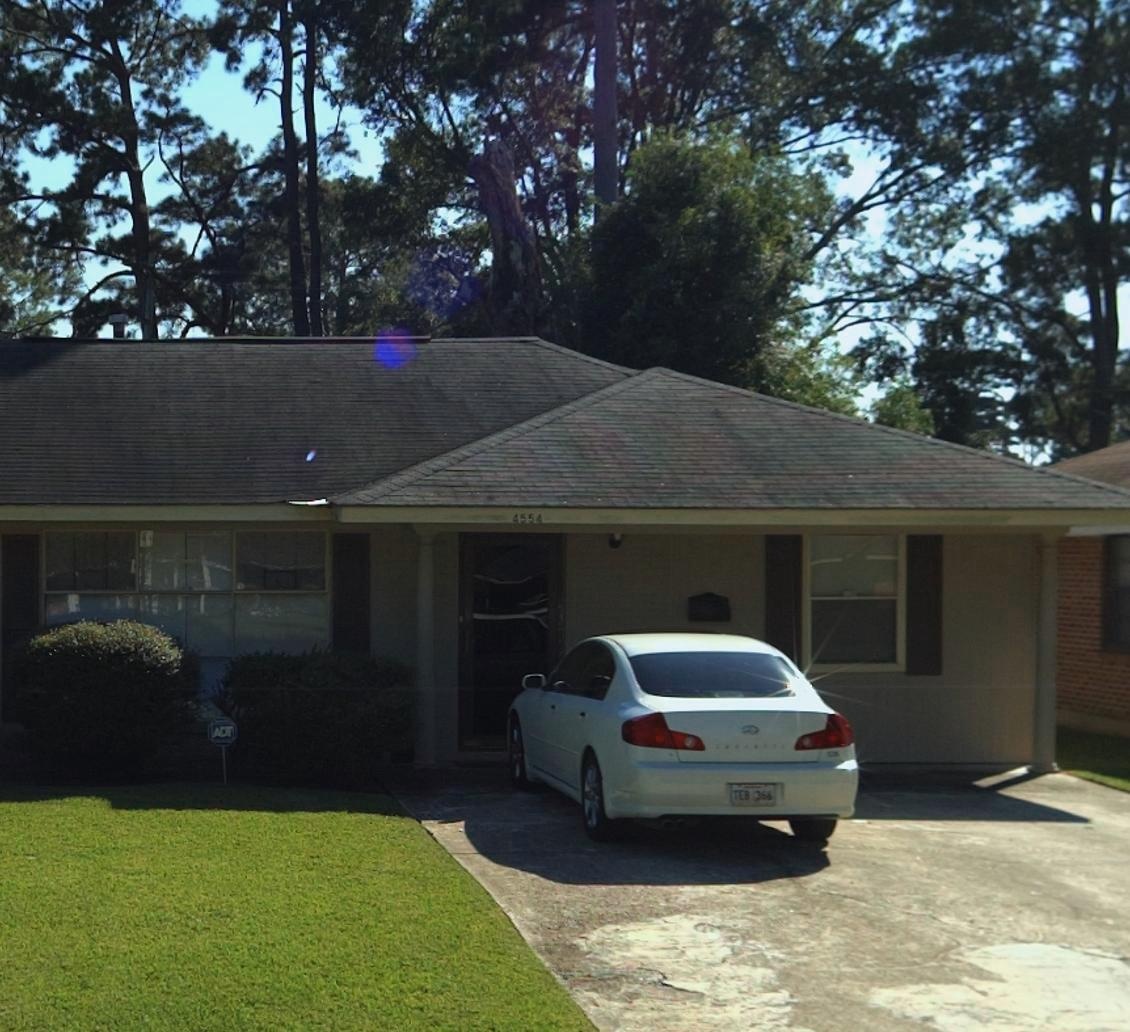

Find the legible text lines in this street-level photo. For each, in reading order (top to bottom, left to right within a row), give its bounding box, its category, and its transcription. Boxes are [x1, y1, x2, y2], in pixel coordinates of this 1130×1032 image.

[512, 513, 543, 524] StreetNumber: 4554
[731, 789, 773, 800] None: TEB*366